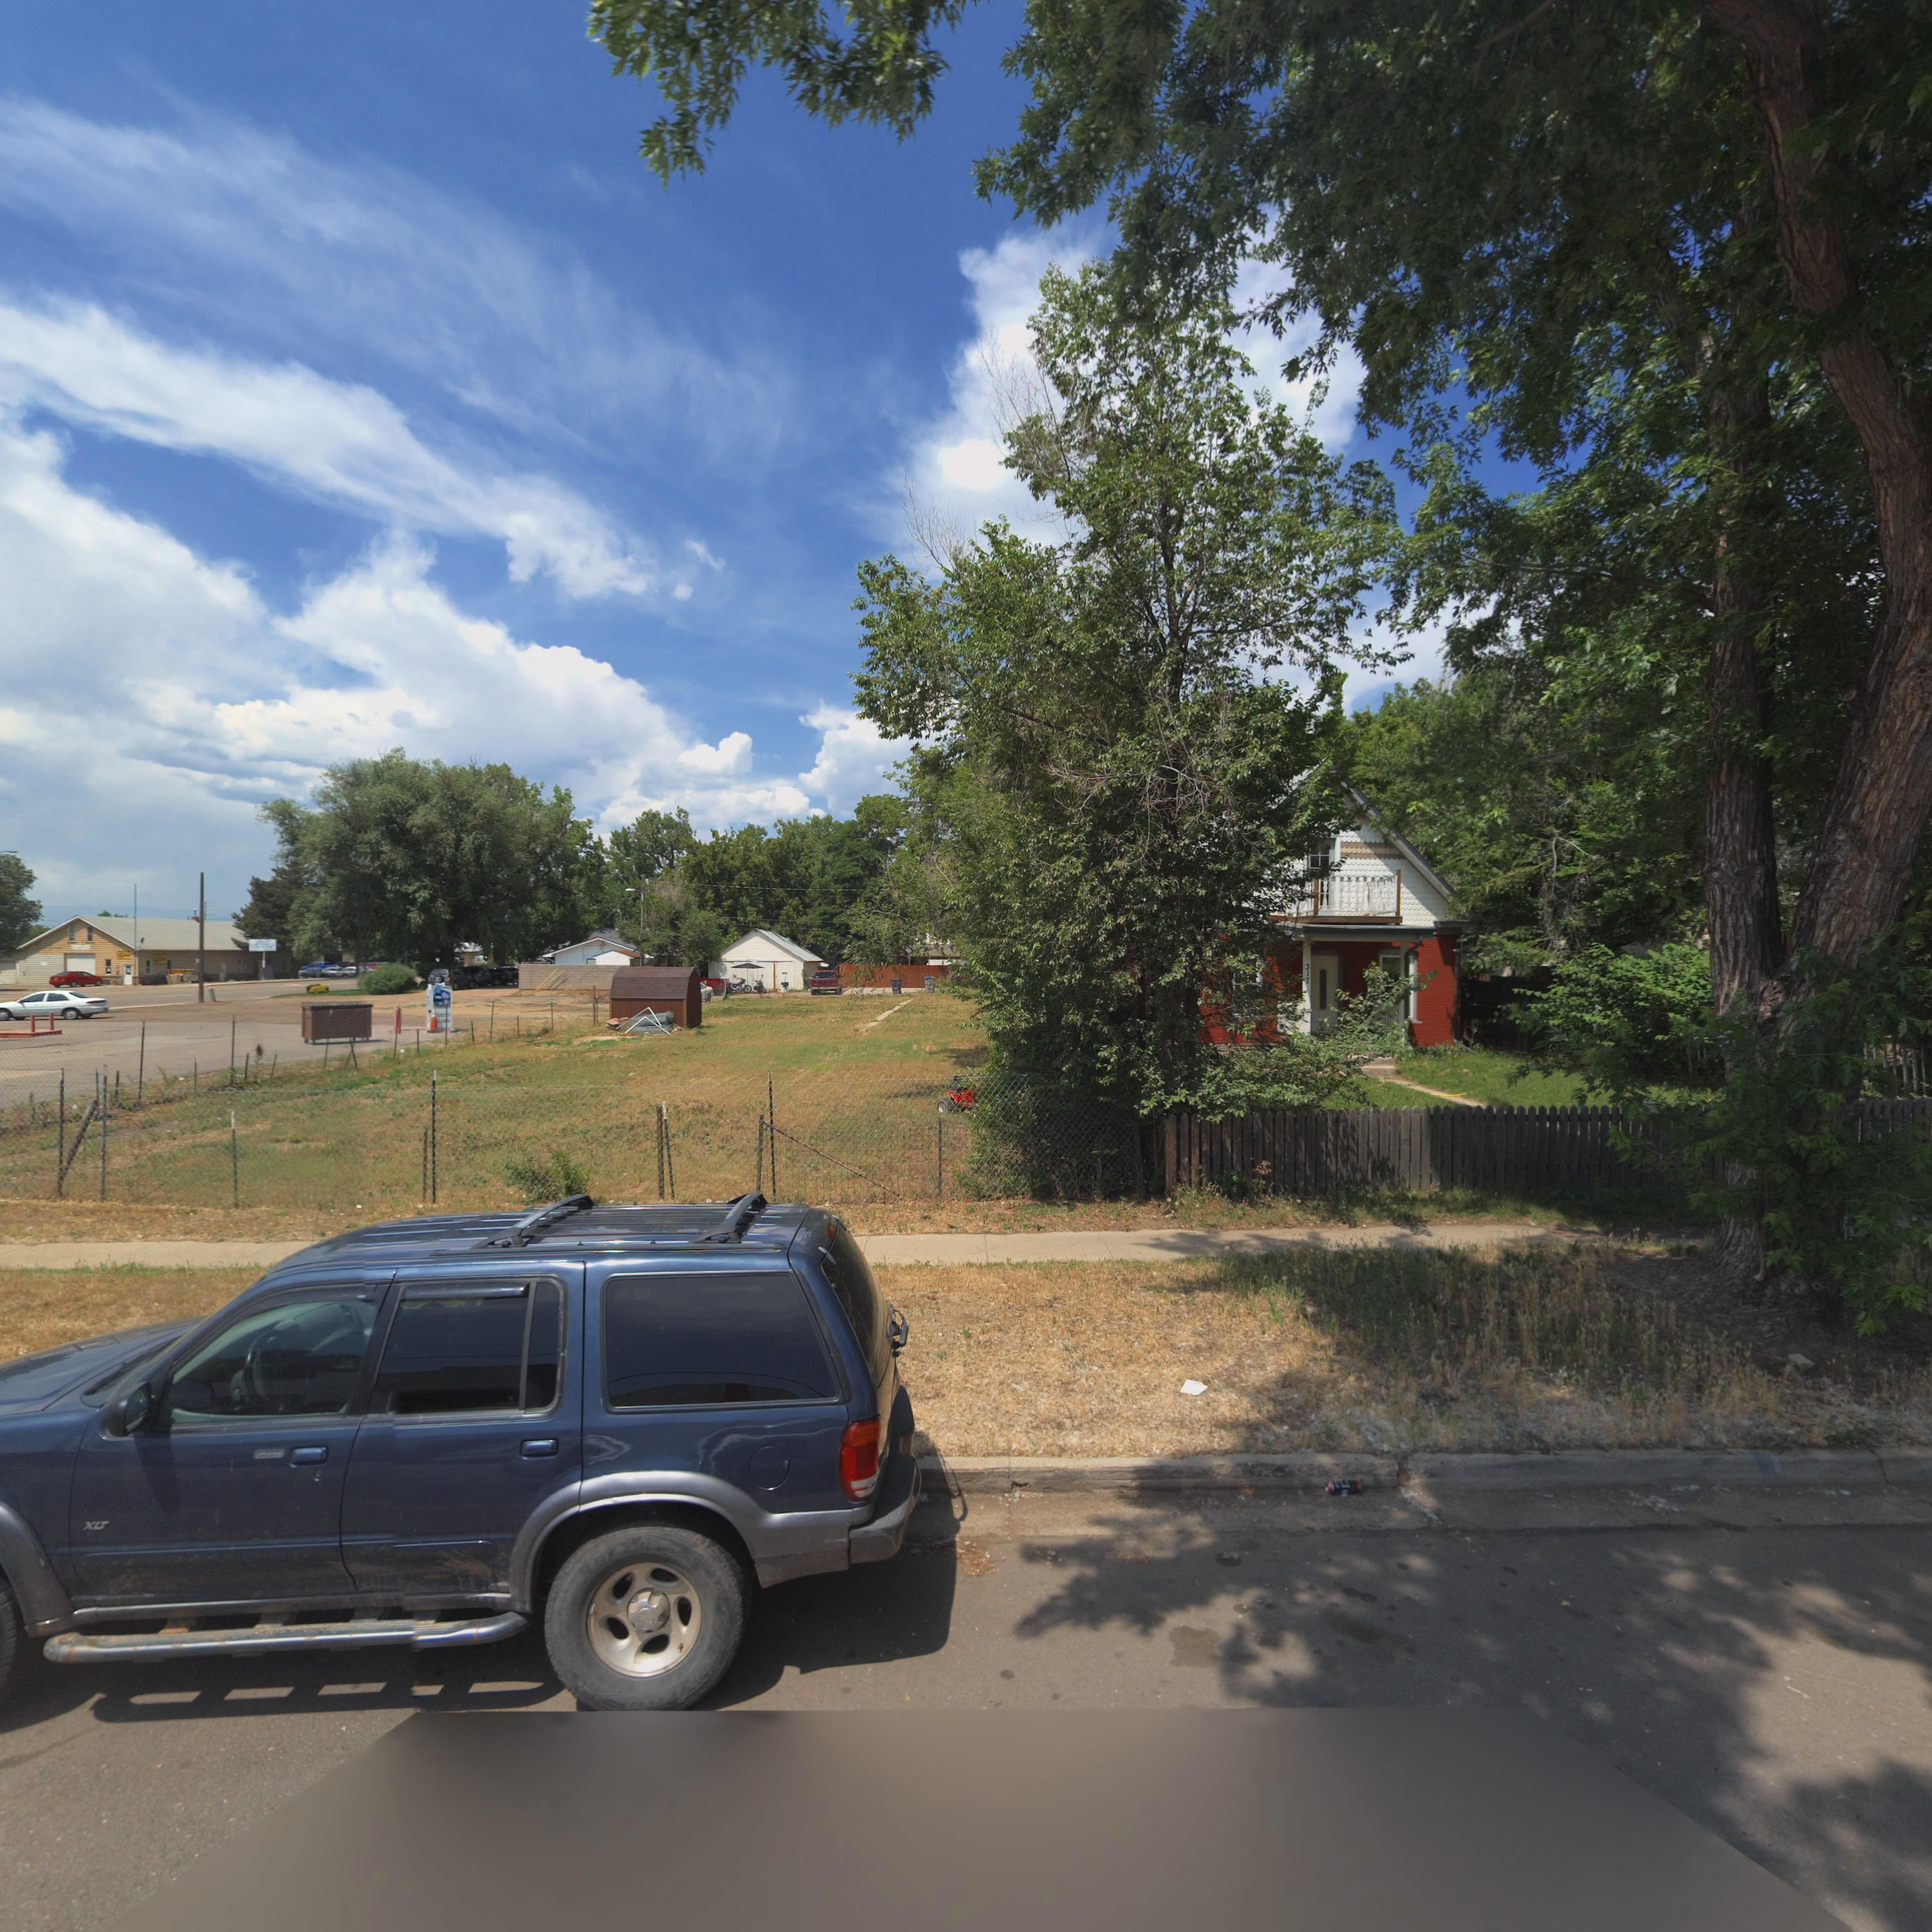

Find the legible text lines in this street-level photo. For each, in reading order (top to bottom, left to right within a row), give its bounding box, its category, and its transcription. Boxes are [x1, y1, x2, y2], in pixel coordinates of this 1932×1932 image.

[1305, 964, 1309, 984] StreetNumber: 317